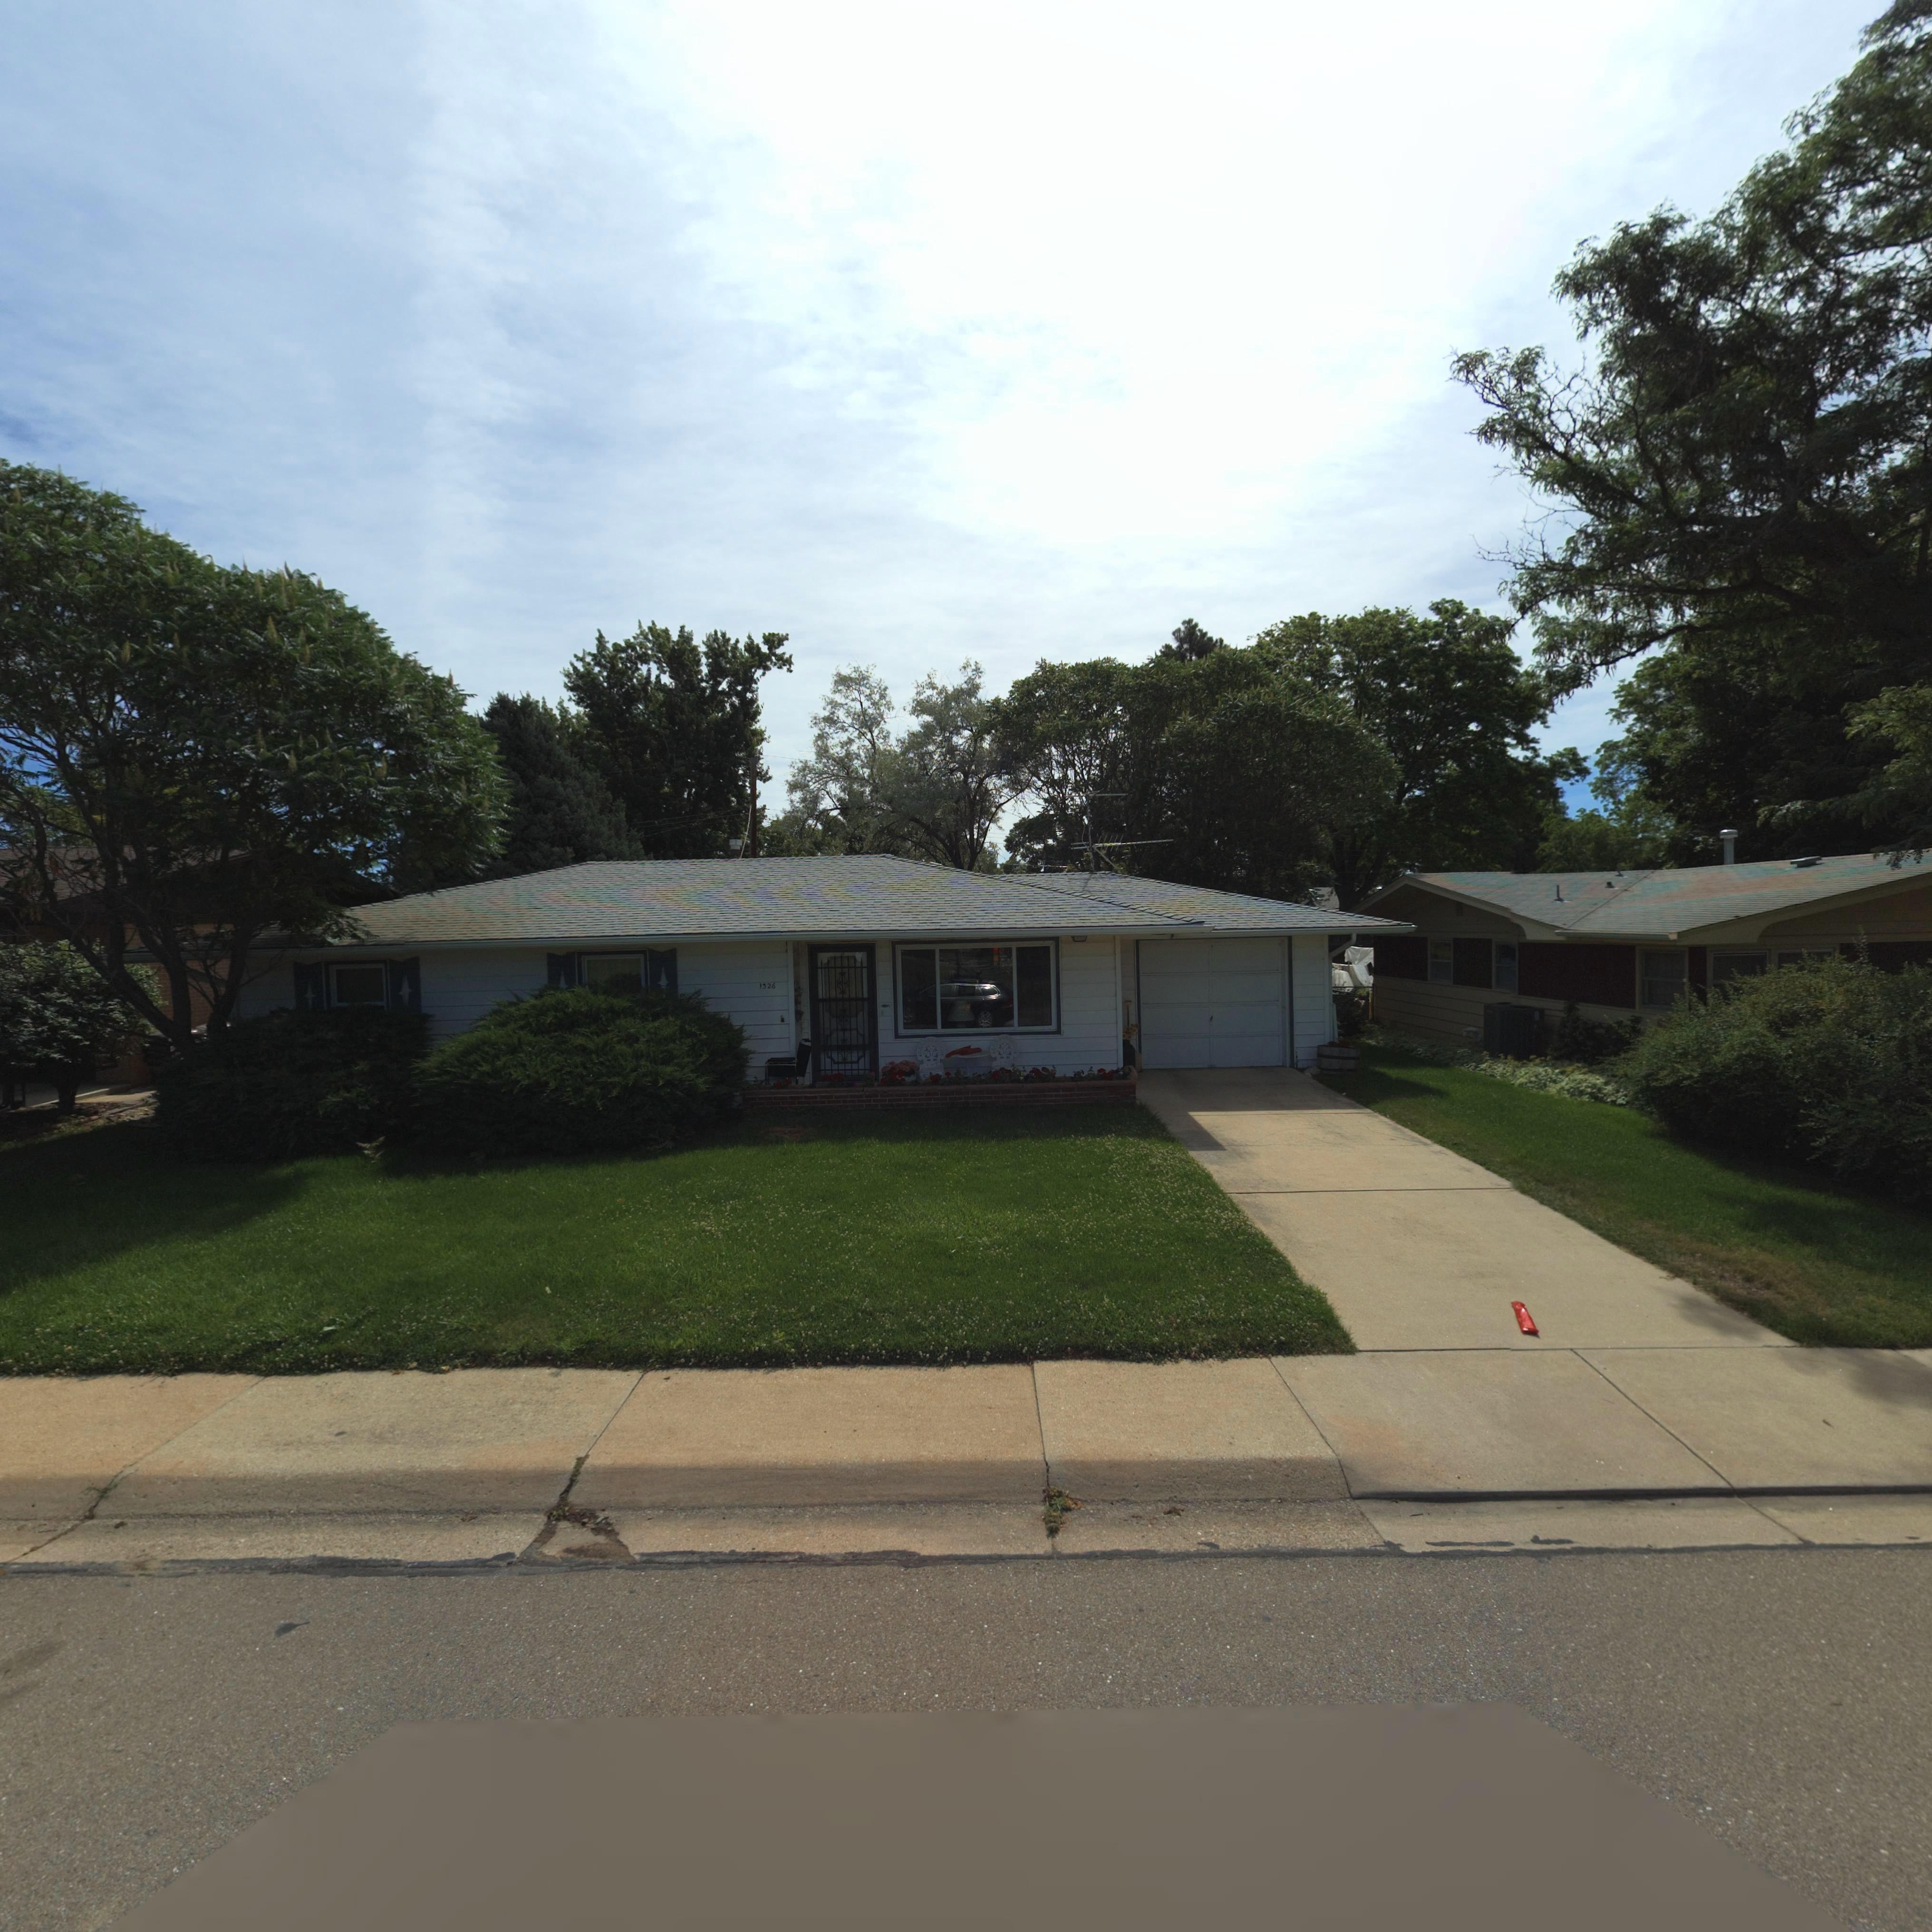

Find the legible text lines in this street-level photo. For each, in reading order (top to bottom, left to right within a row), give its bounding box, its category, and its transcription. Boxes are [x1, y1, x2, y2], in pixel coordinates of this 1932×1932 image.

[759, 982, 775, 989] StreetNumber: 1326